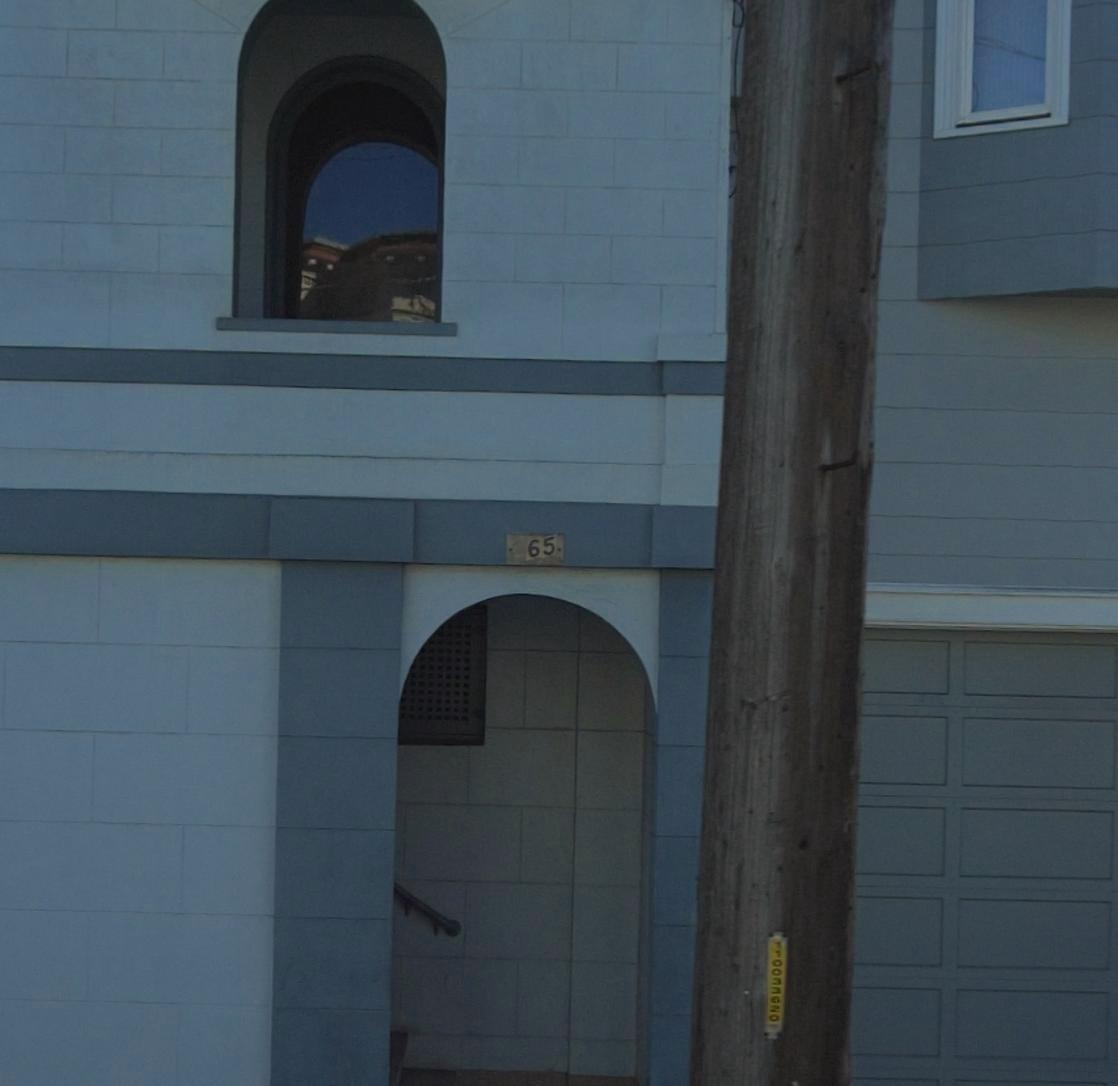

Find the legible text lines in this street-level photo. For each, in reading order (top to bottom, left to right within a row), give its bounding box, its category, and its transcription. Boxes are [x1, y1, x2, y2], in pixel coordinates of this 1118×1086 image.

[525, 534, 557, 559] StreetNumber: 65
[766, 939, 785, 1024] None: 110033*20